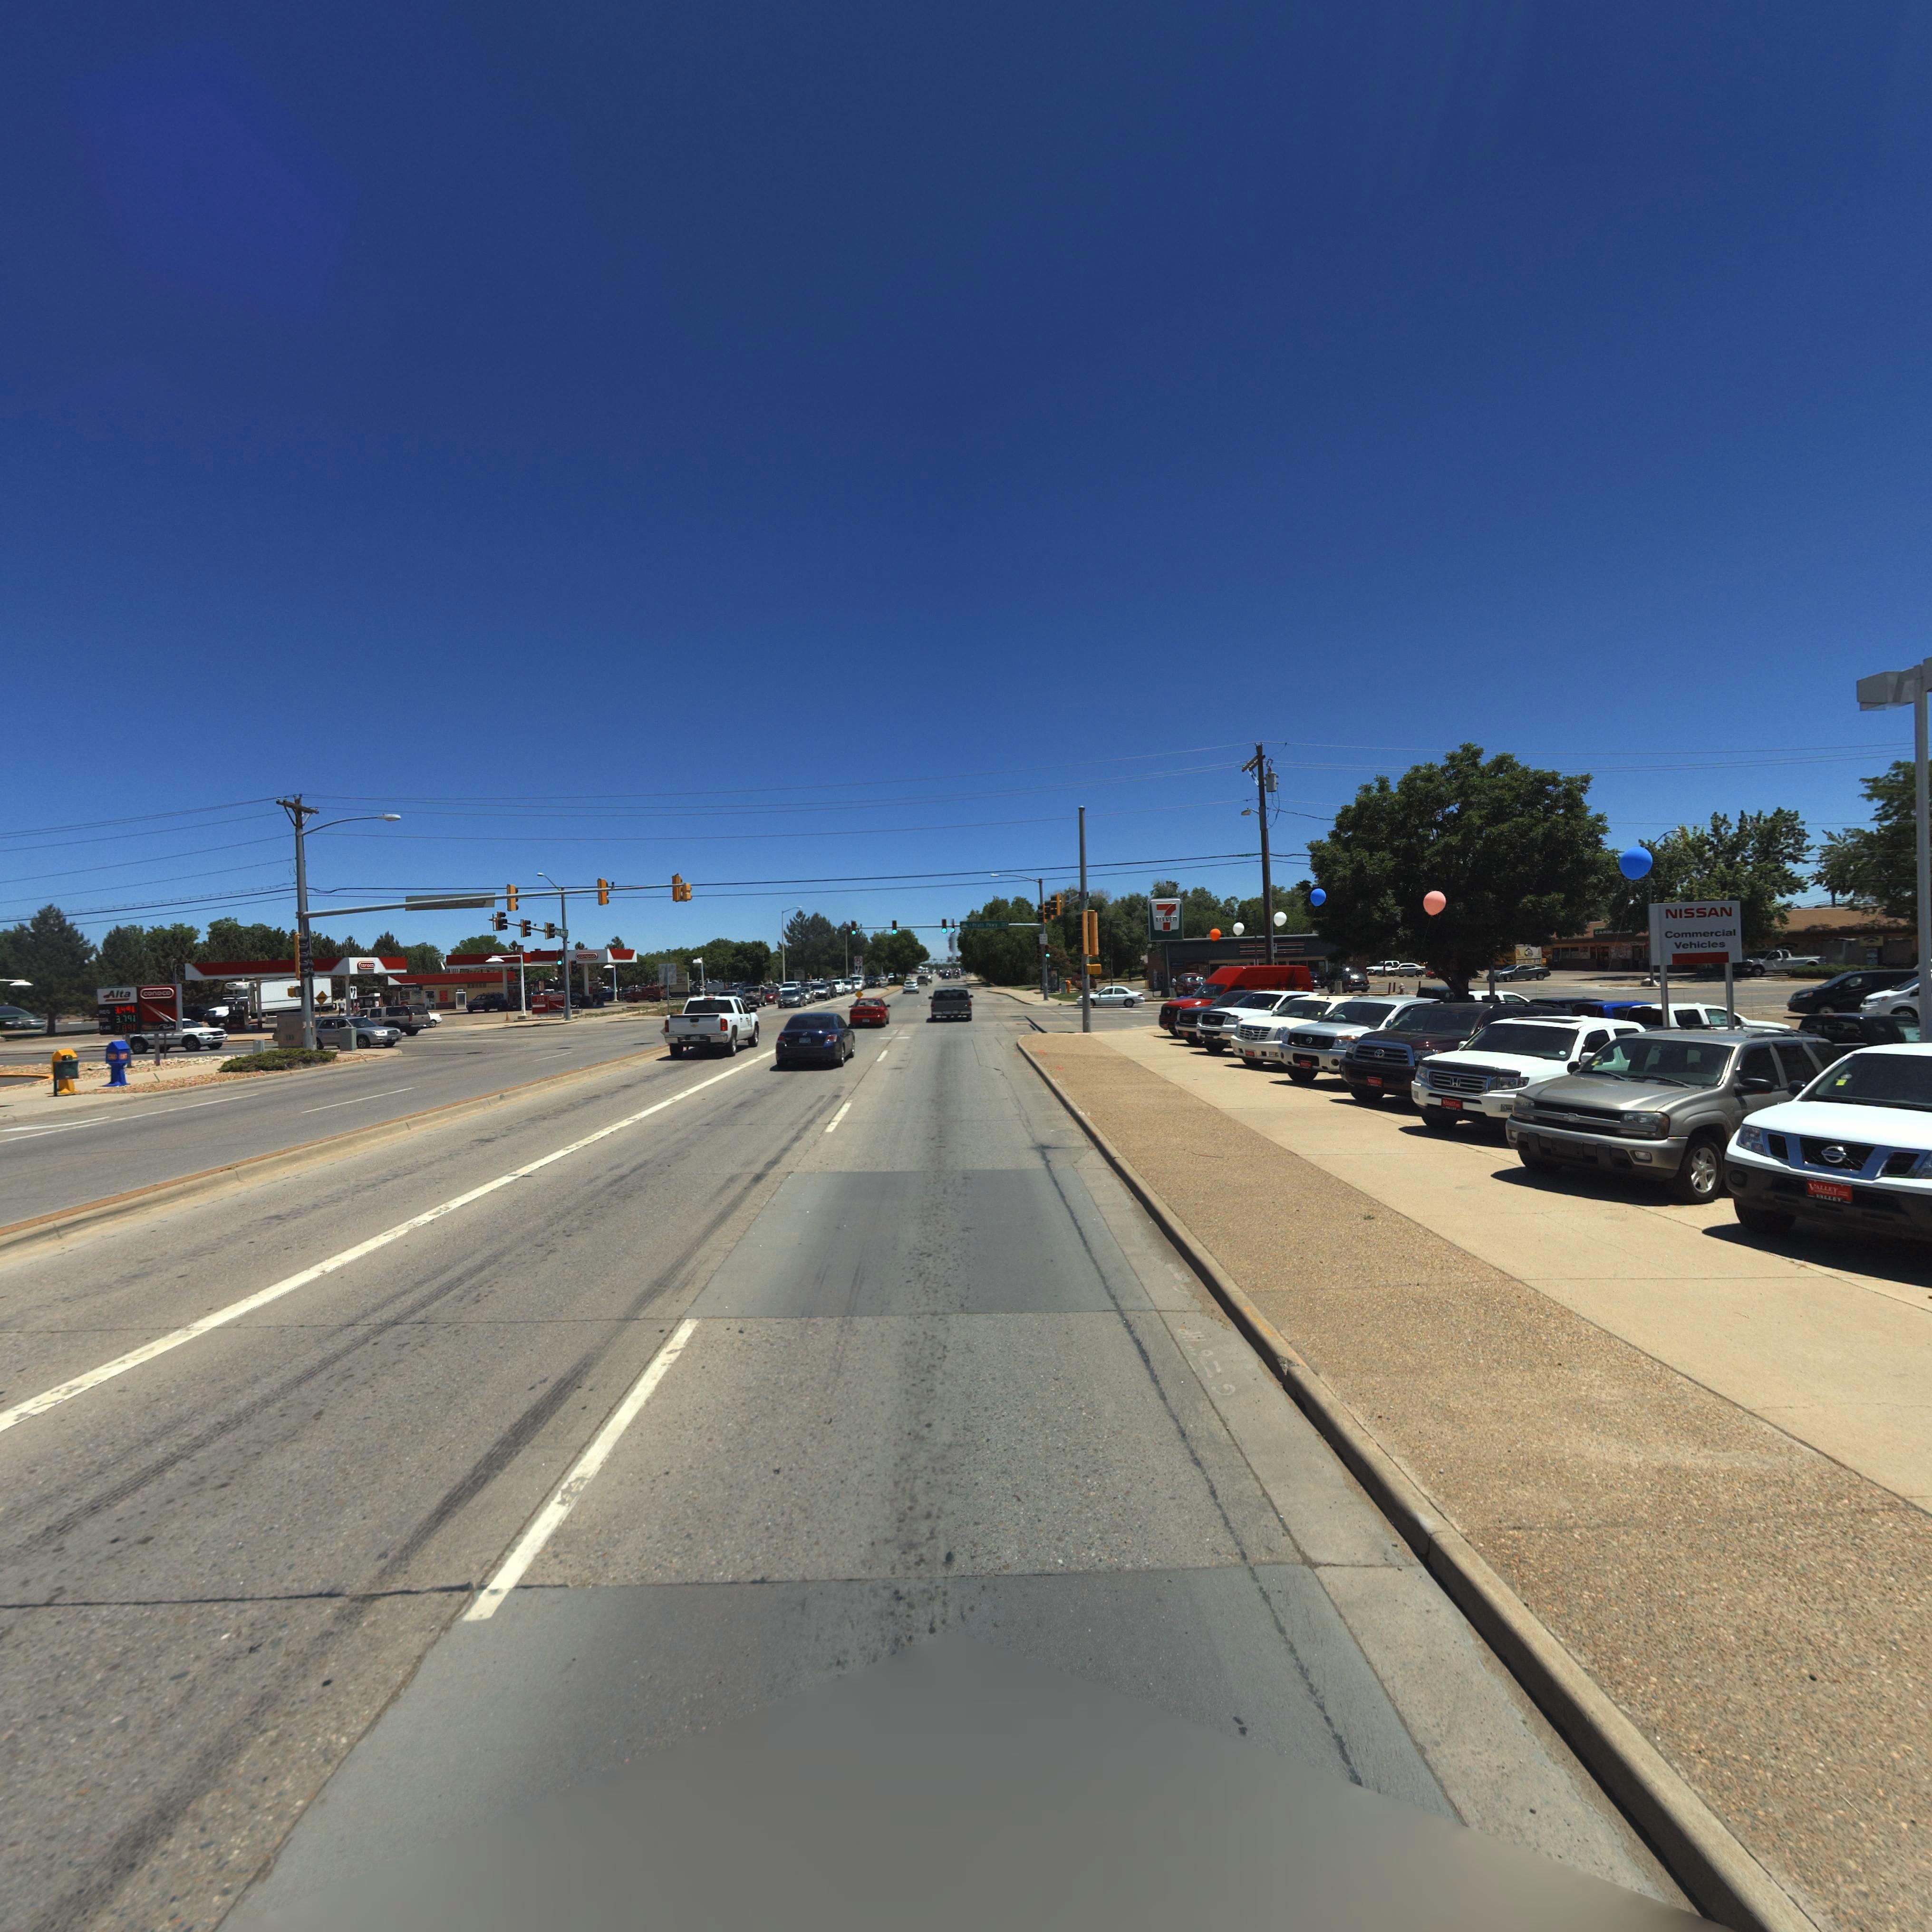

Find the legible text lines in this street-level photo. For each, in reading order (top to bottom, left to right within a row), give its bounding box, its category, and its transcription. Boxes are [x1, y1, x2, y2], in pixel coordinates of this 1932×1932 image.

[1665, 906, 1732, 919] BusinessName: NISSAN
[1156, 916, 1177, 922] BusinessName: ELEVEN
[972, 922, 998, 928] StreetName: P**** P***
[1664, 928, 1736, 938] BusinessName: Commercial
[1673, 940, 1726, 949] BusinessName: Vehicles
[577, 954, 596, 958] BusinessName: co*oco
[360, 964, 374, 967] BusinessName: co*oc*
[106, 989, 131, 998] BusinessName: Alta
[142, 990, 171, 996] BusinessName: conoco